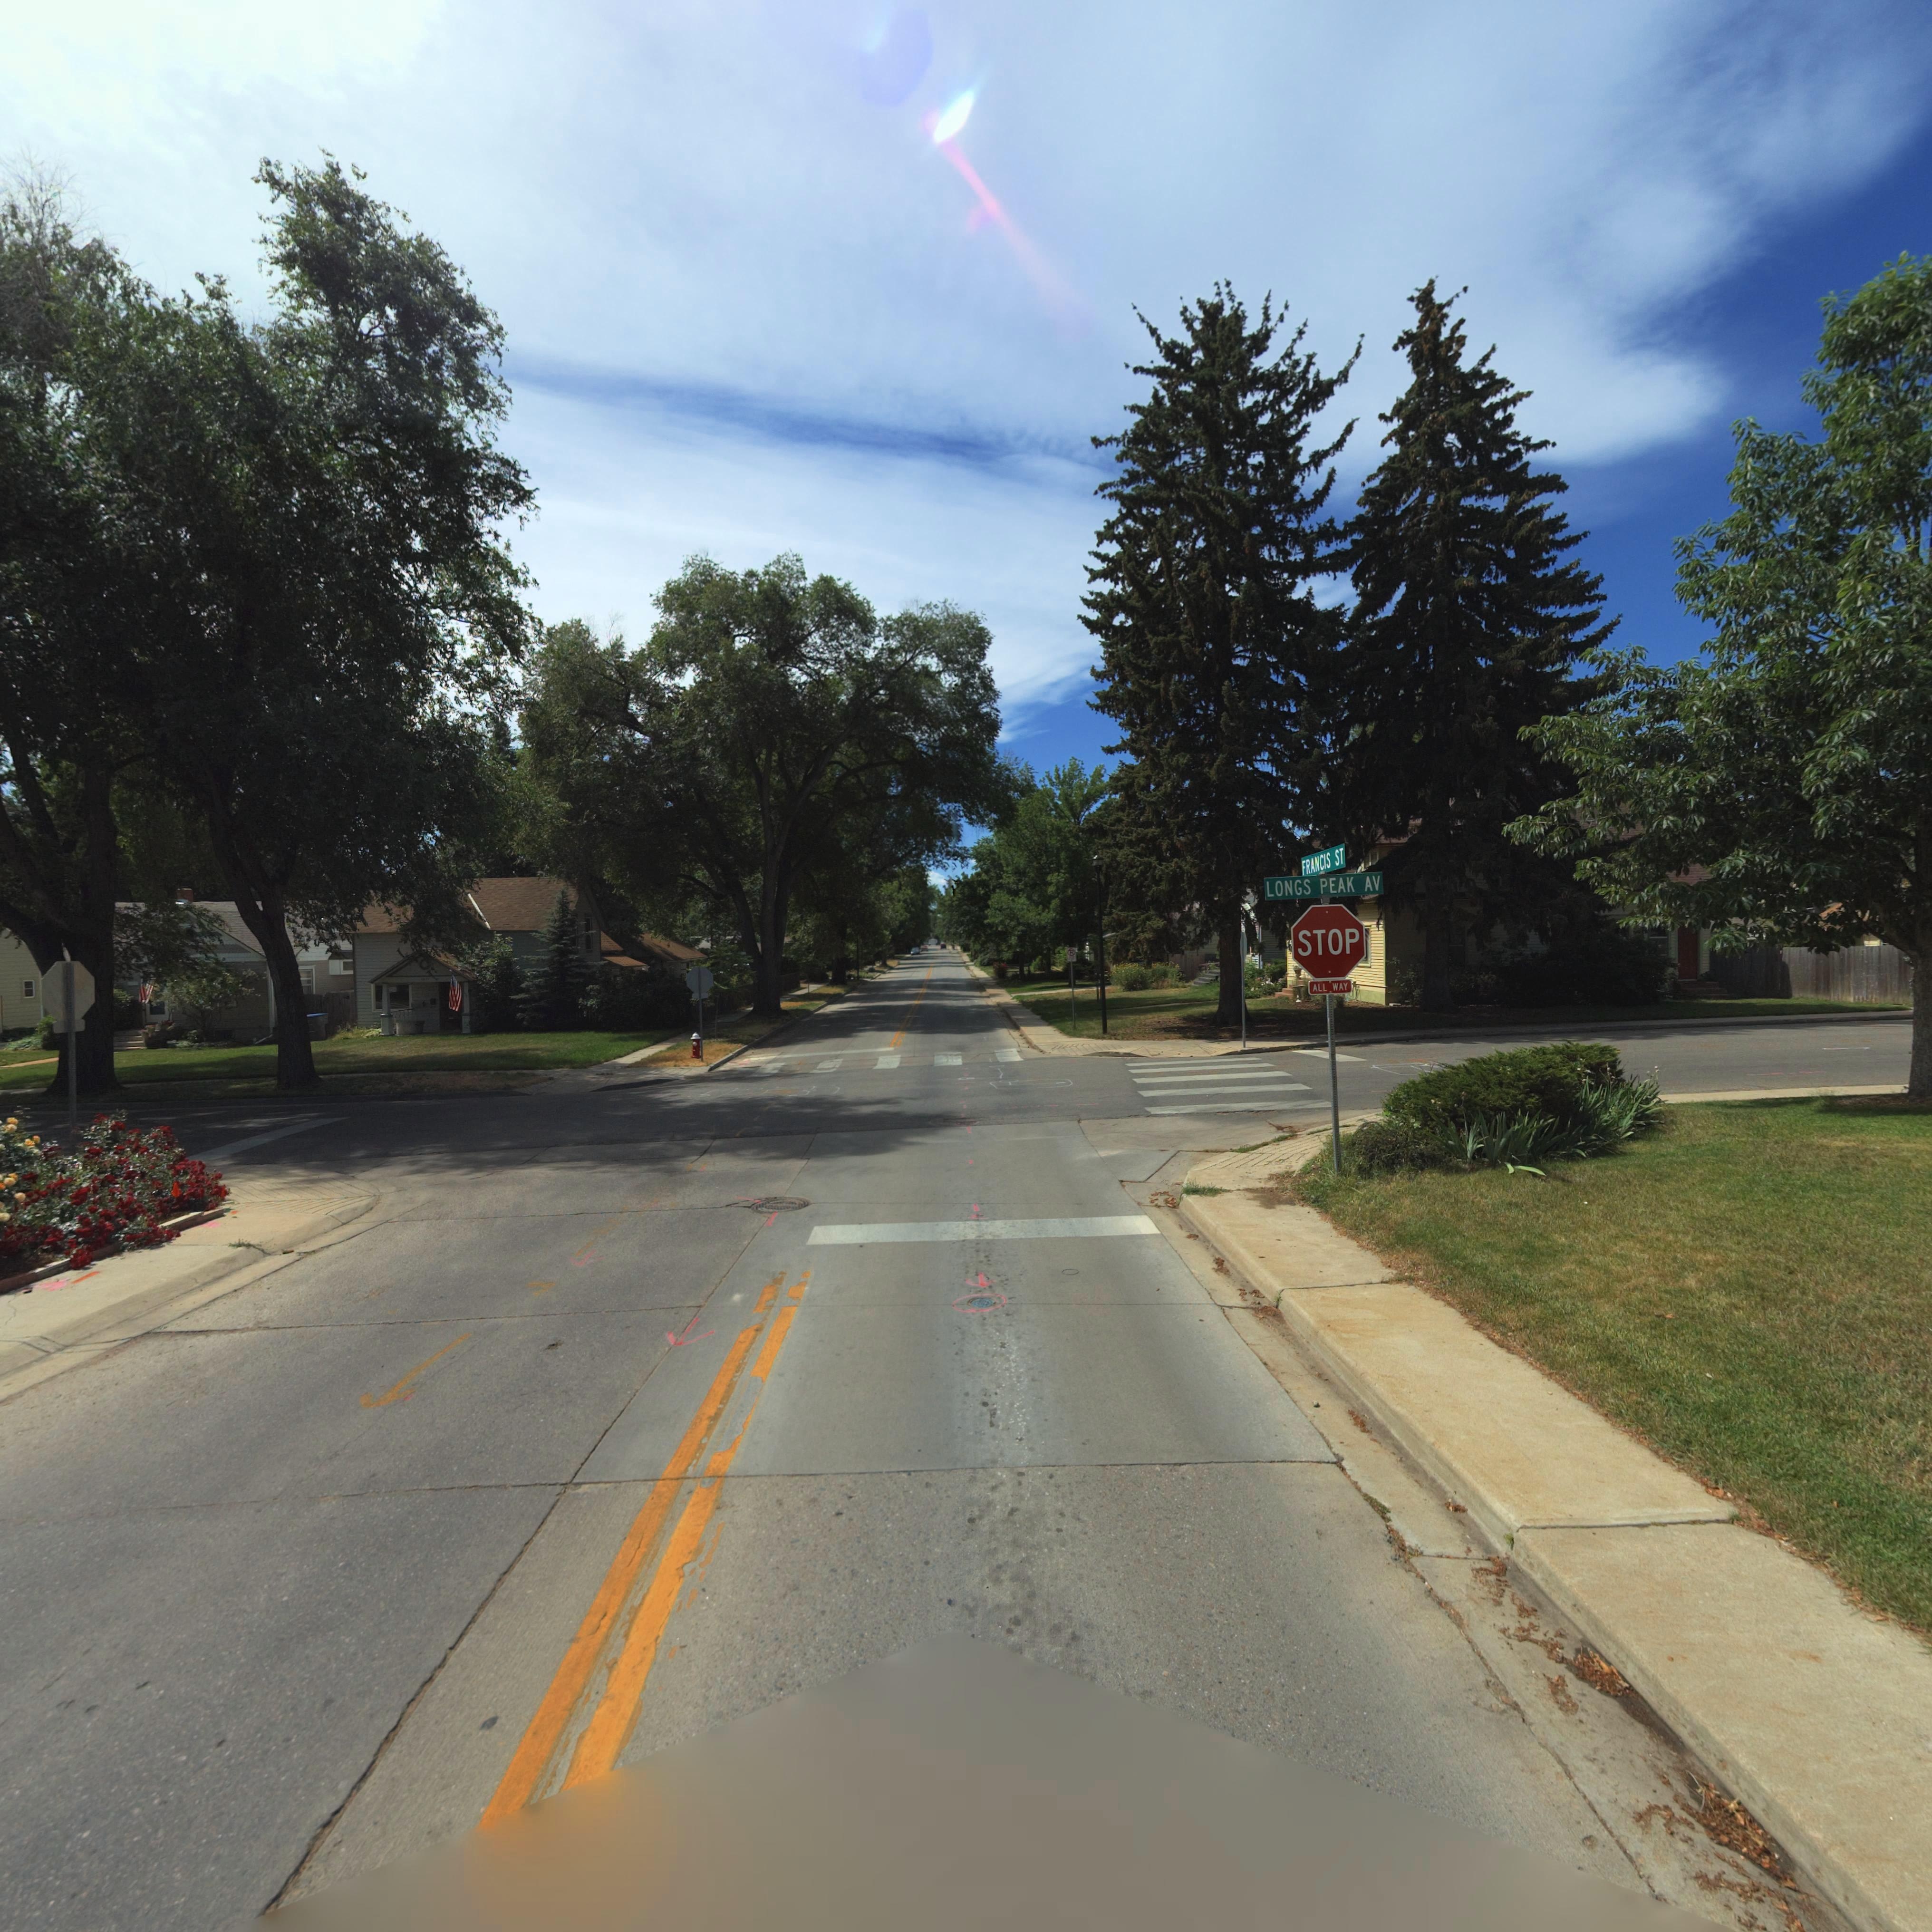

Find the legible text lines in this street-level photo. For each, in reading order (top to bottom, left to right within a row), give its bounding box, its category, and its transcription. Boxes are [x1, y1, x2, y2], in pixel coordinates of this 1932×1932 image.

[1301, 847, 1343, 876] StreetName: FRANCIS ST
[1266, 875, 1381, 897] StreetName: LONGS PEAK AV
[421, 977, 431, 981] StreetNumber: 1***